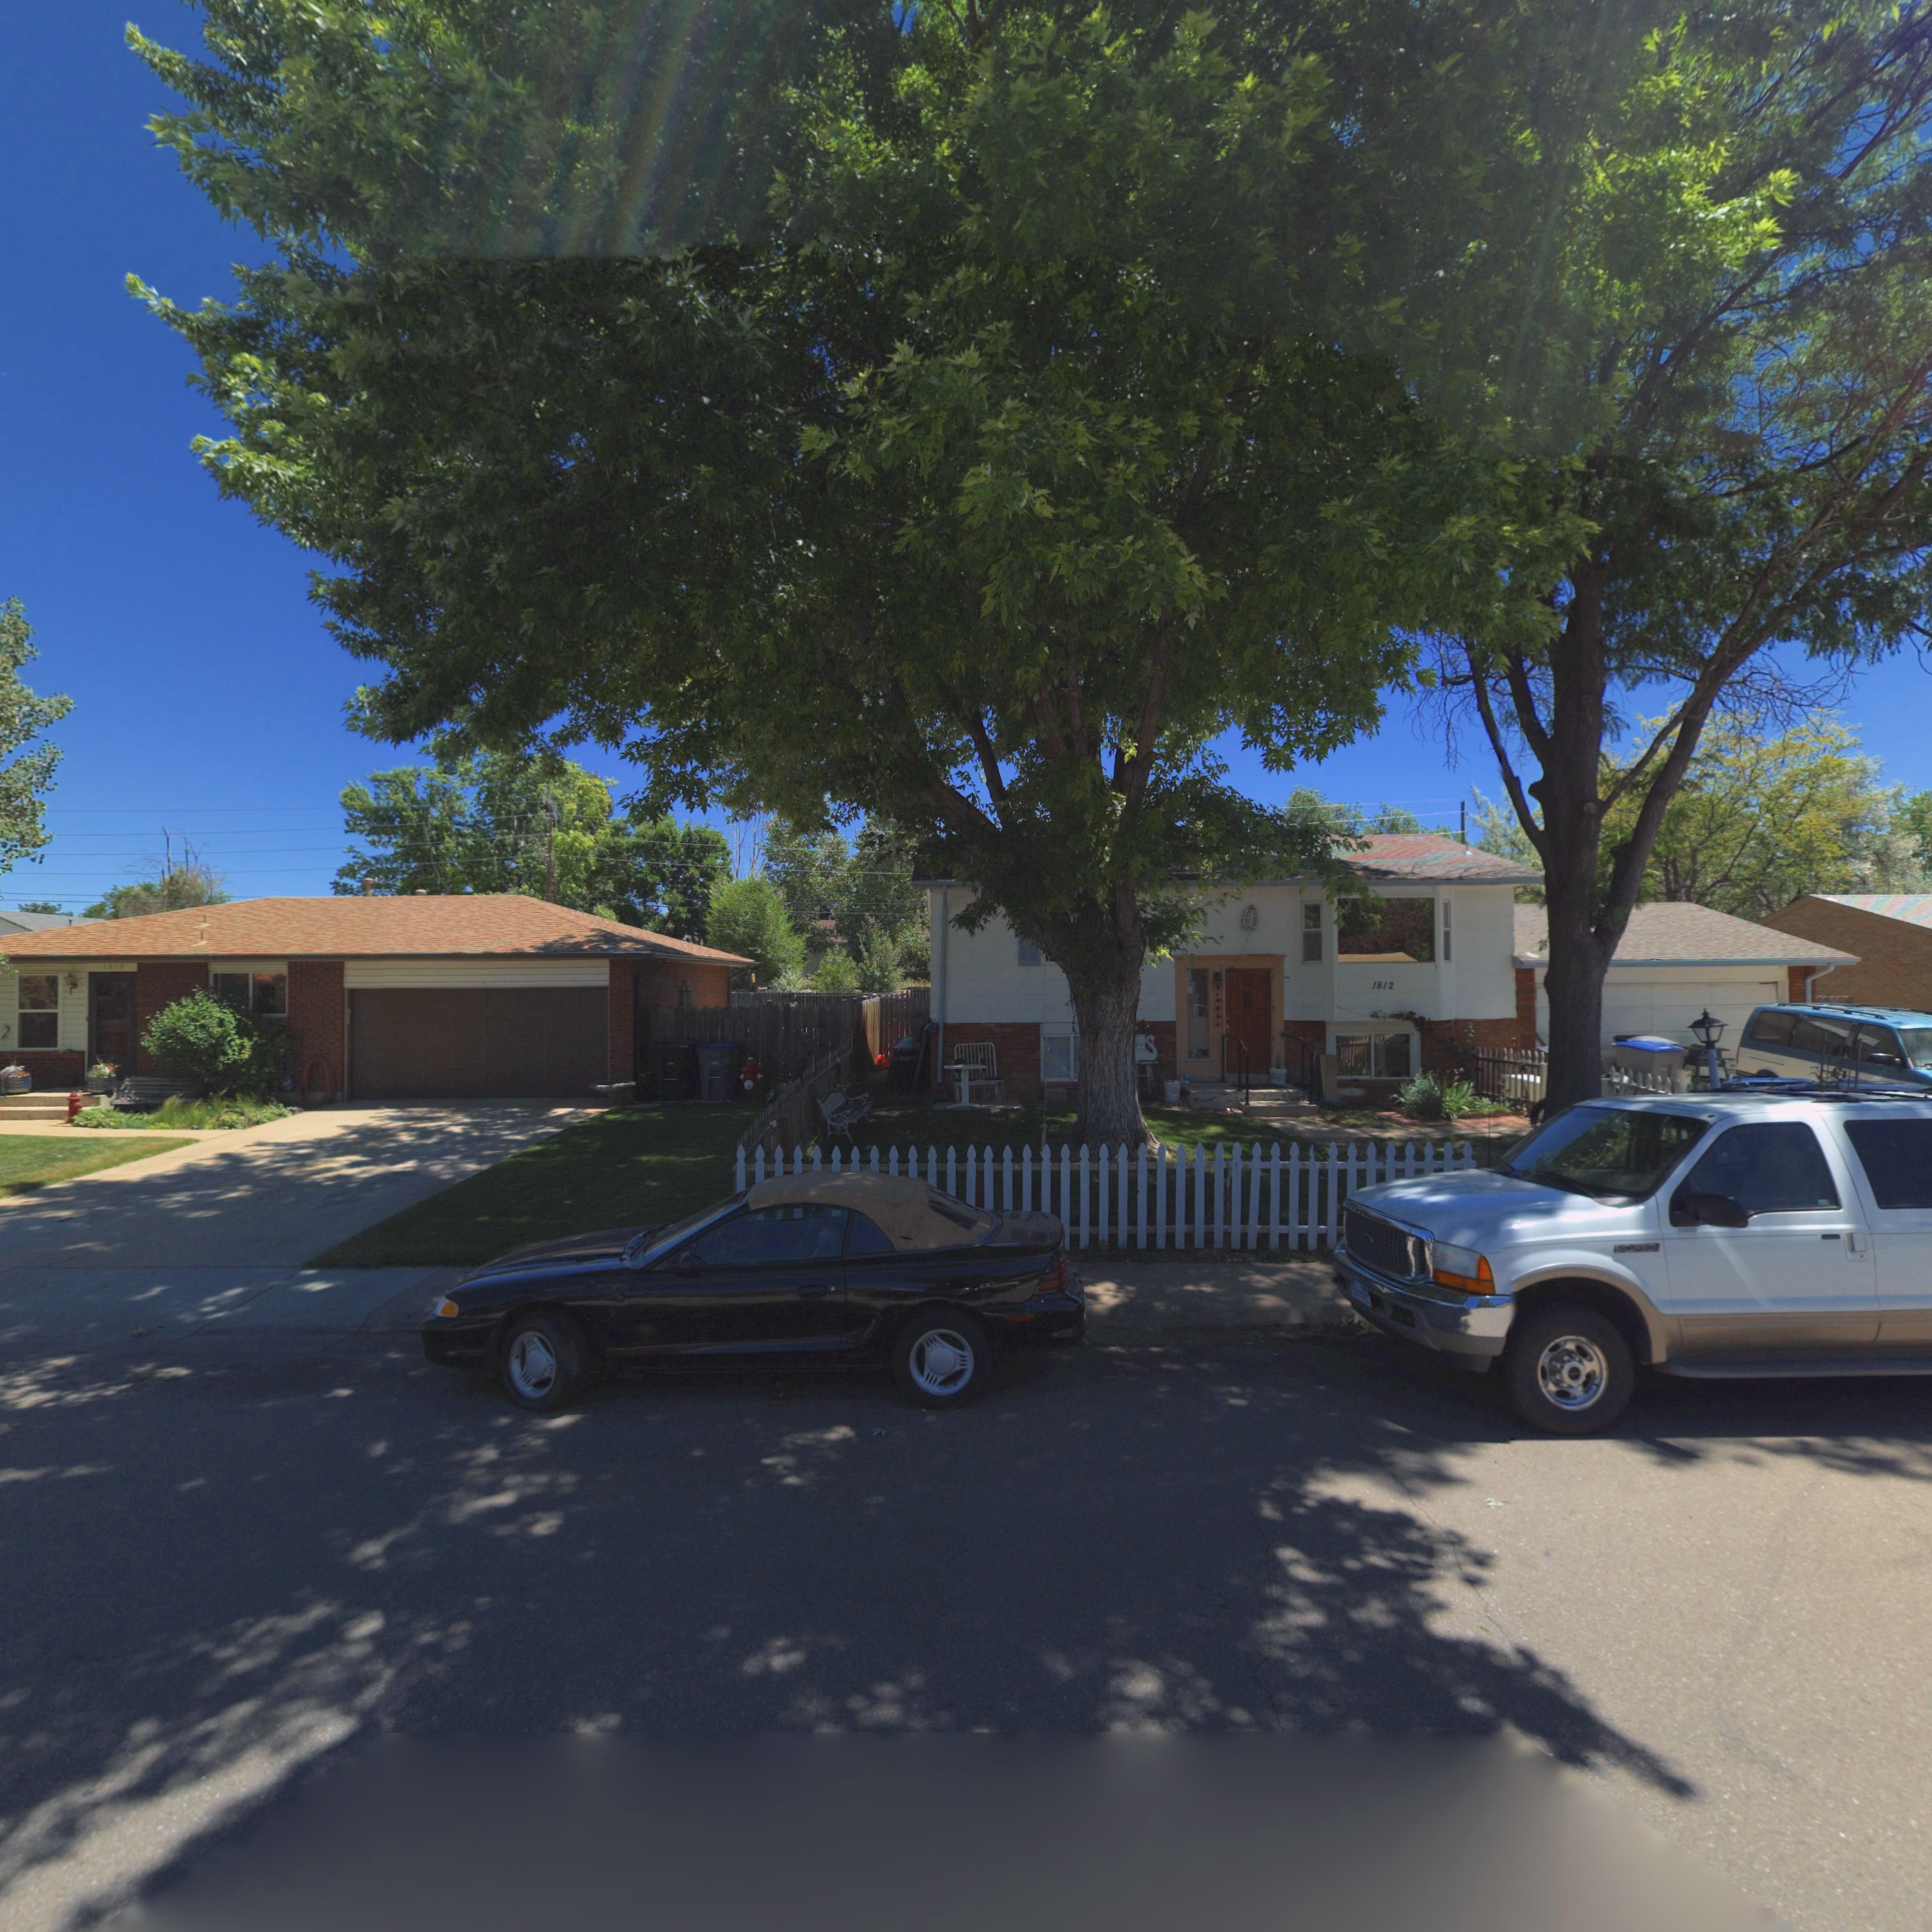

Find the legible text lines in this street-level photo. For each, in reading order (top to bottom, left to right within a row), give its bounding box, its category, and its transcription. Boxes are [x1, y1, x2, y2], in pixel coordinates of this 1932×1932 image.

[104, 963, 124, 970] StreetNumber: 181*
[1372, 981, 1394, 989] StreetNumber: 1812